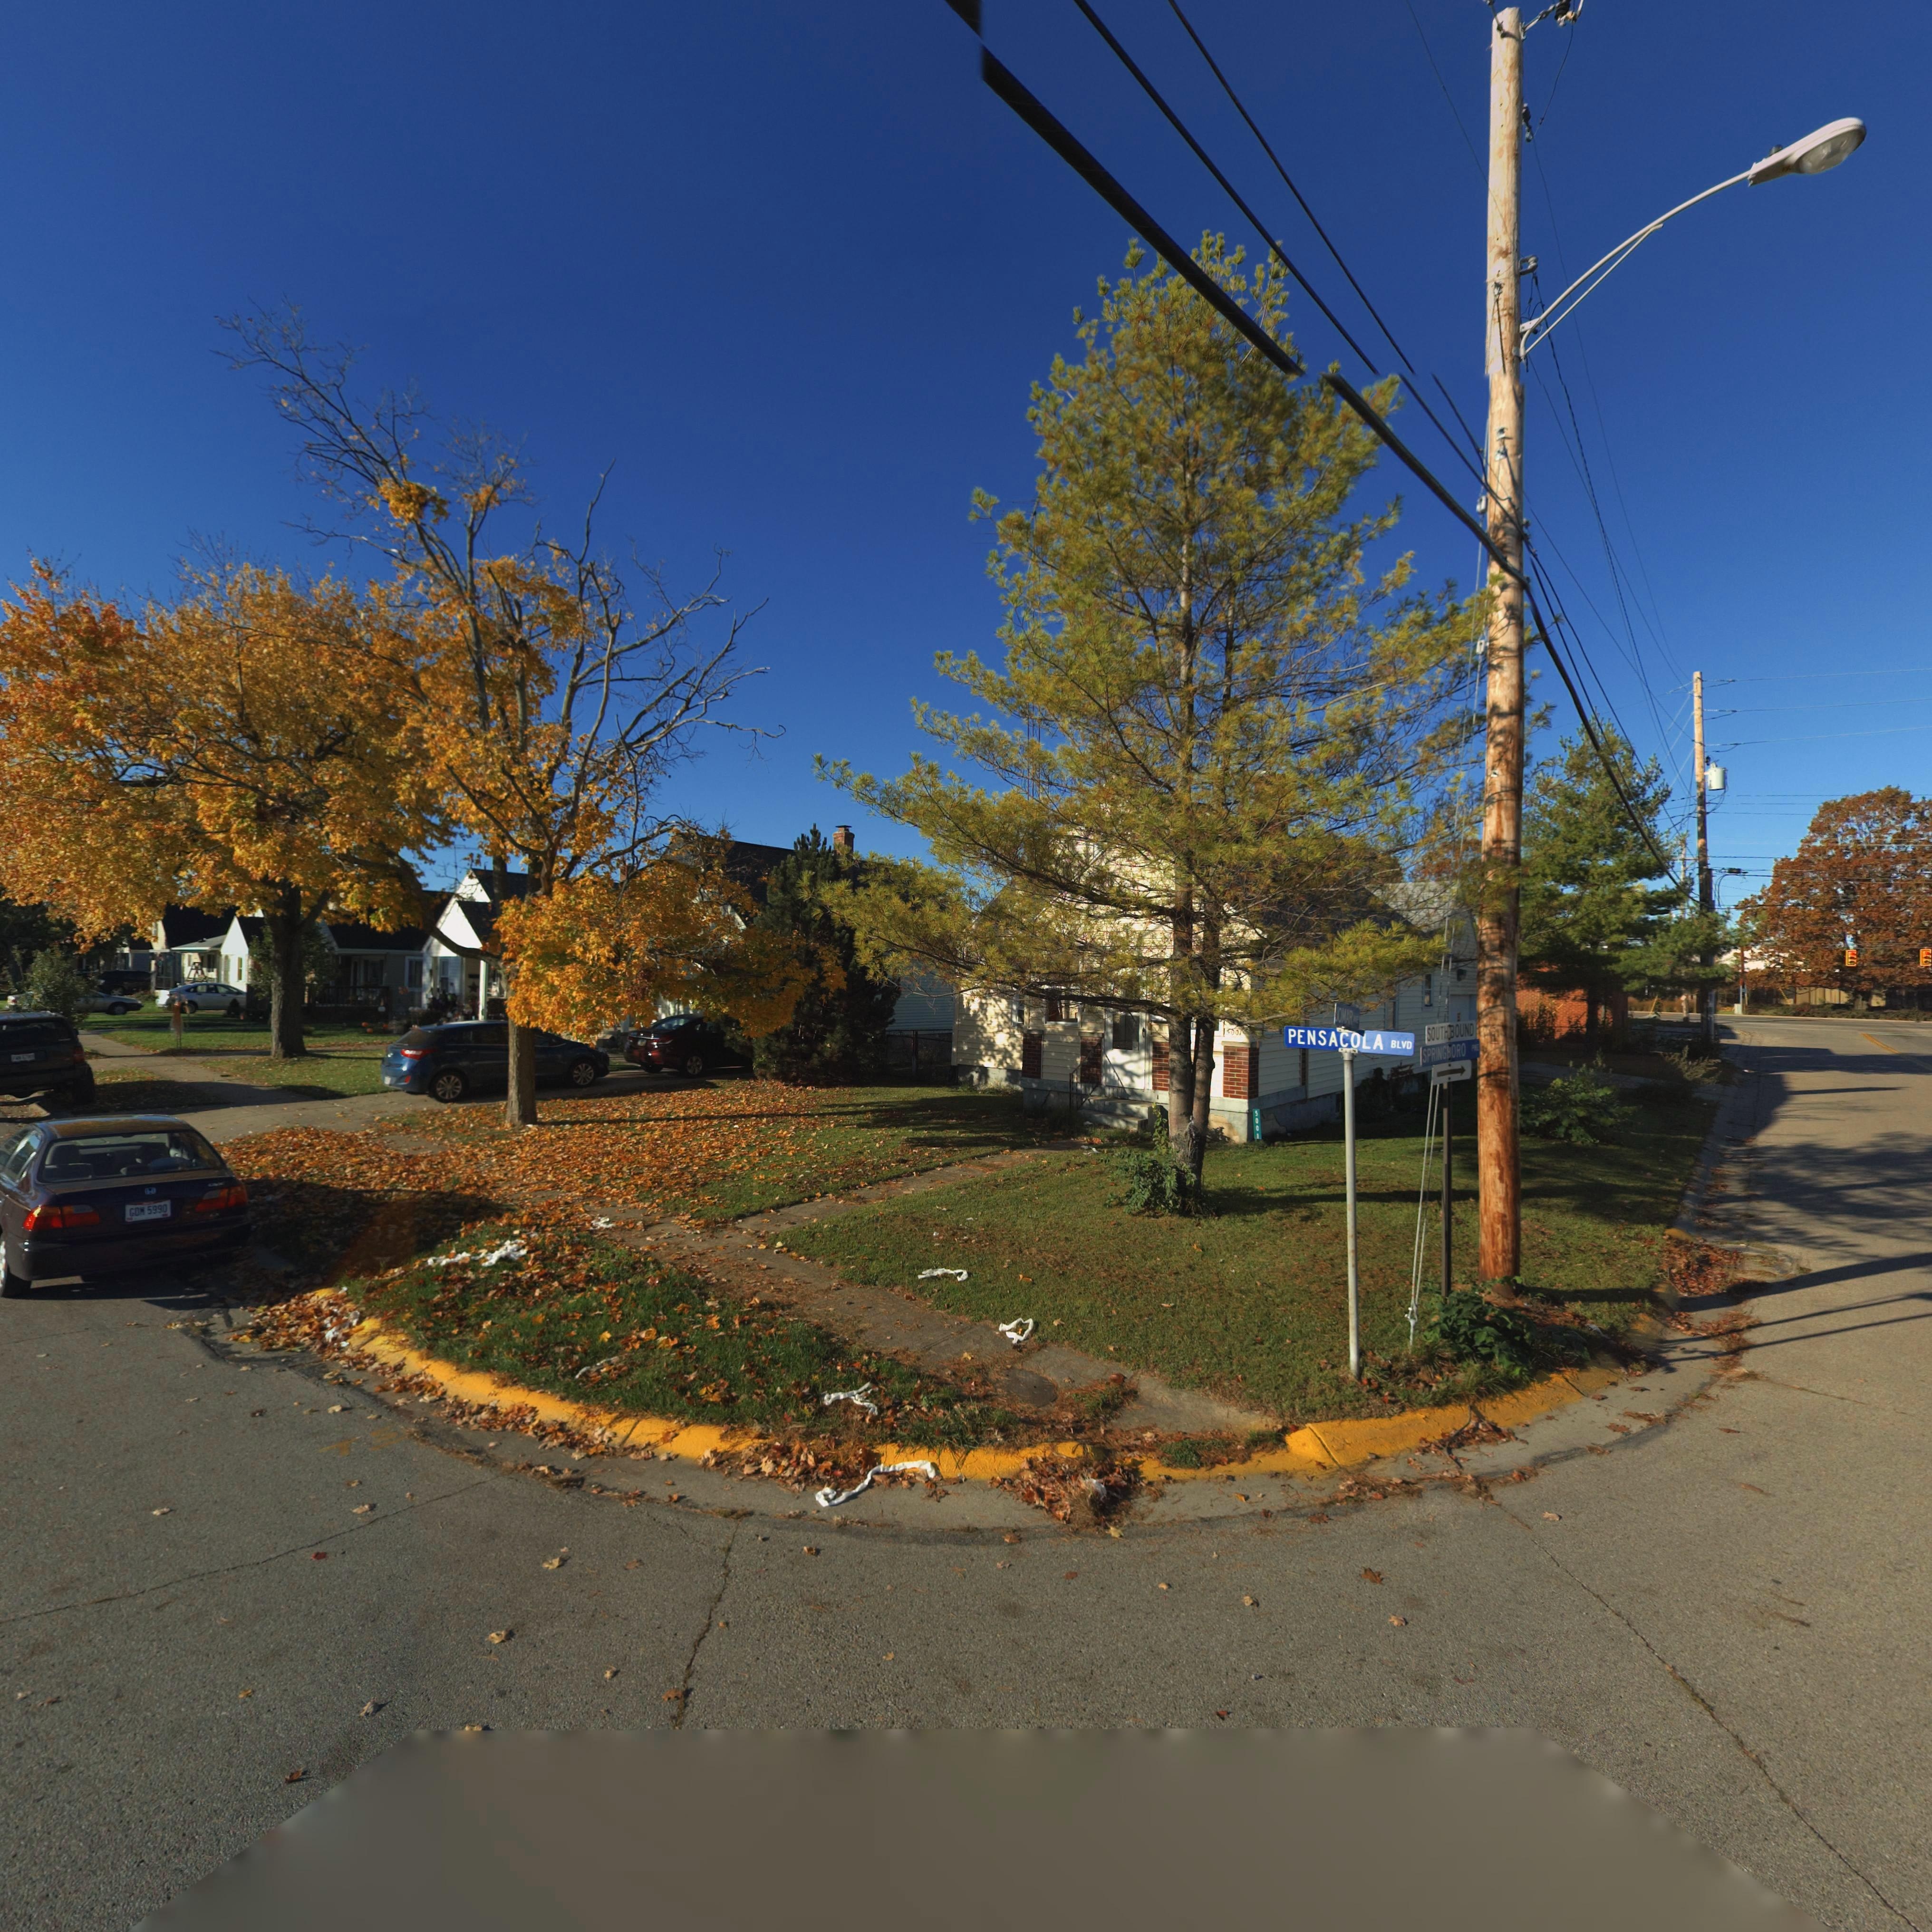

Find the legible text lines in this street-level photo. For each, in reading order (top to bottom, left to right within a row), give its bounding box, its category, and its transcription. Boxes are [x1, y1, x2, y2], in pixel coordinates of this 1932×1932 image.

[1225, 1028, 1243, 1036] StreetNumber: 5001
[1255, 1110, 1260, 1140] StreetNumber: 5001